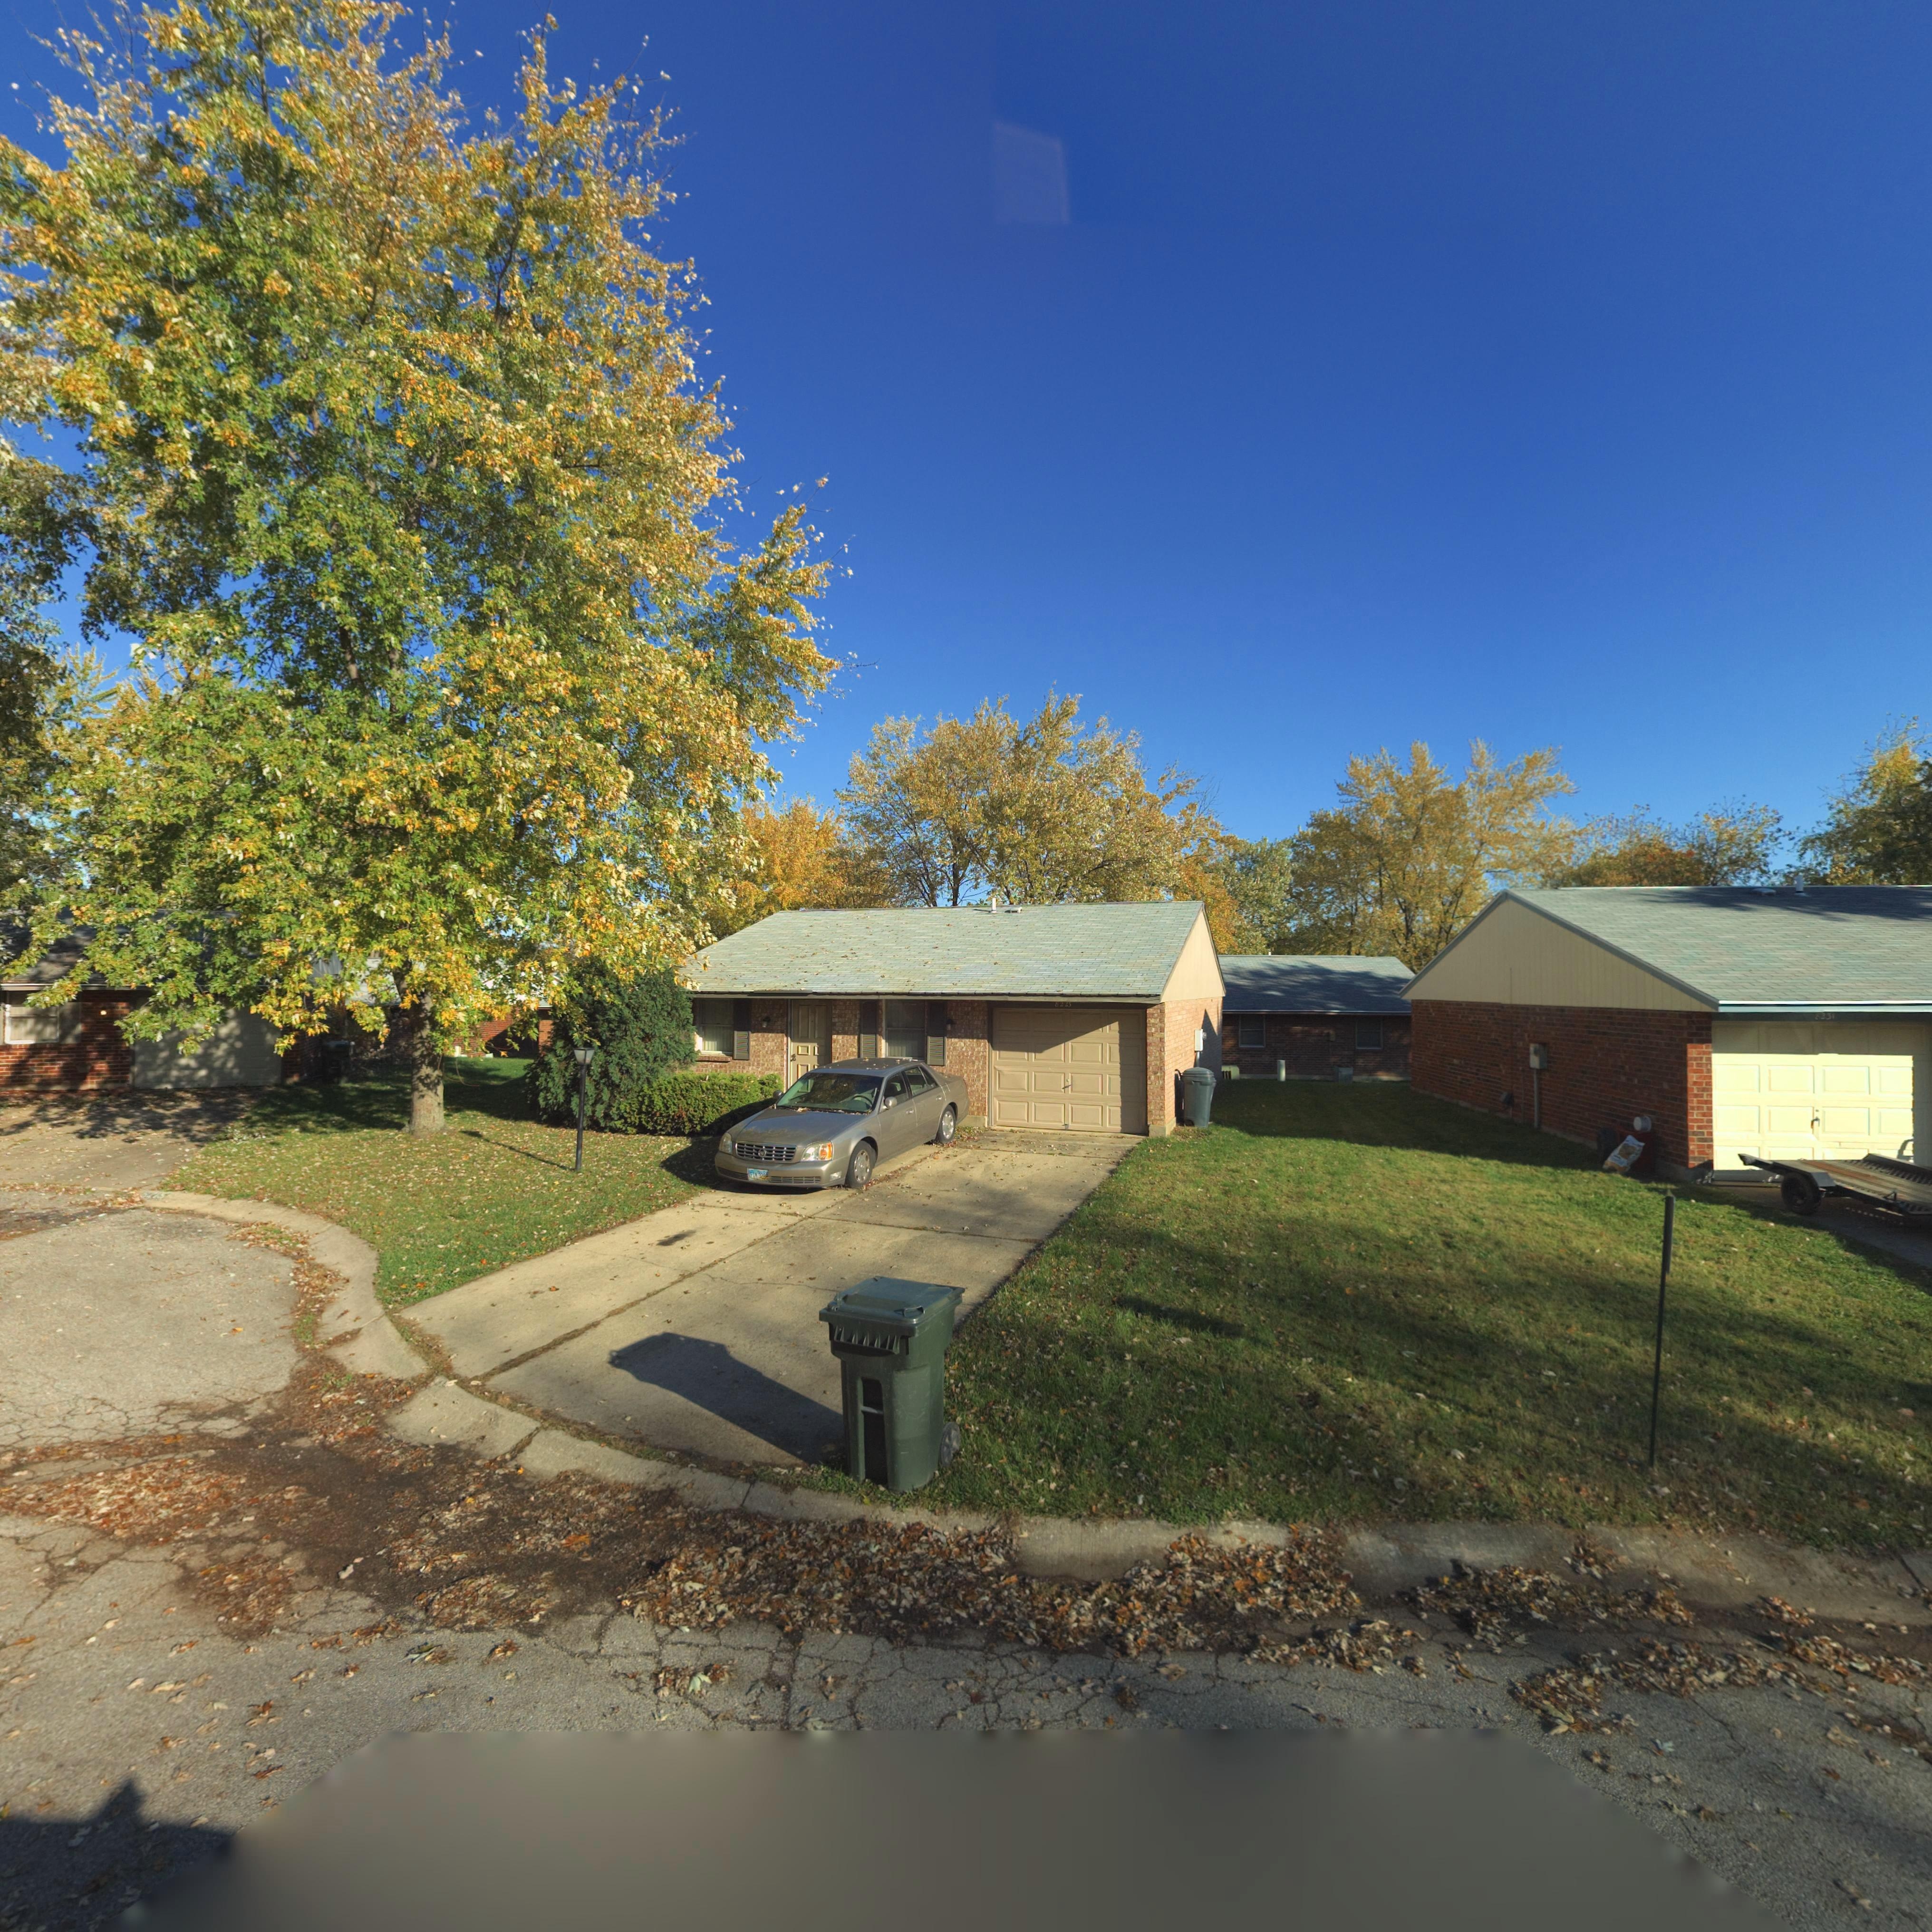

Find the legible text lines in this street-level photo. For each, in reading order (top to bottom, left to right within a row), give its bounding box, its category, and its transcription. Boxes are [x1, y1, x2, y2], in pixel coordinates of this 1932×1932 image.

[1054, 1001, 1072, 1007] StreetNumber: 8223
[1814, 1012, 1835, 1021] StreetNumber: 8231